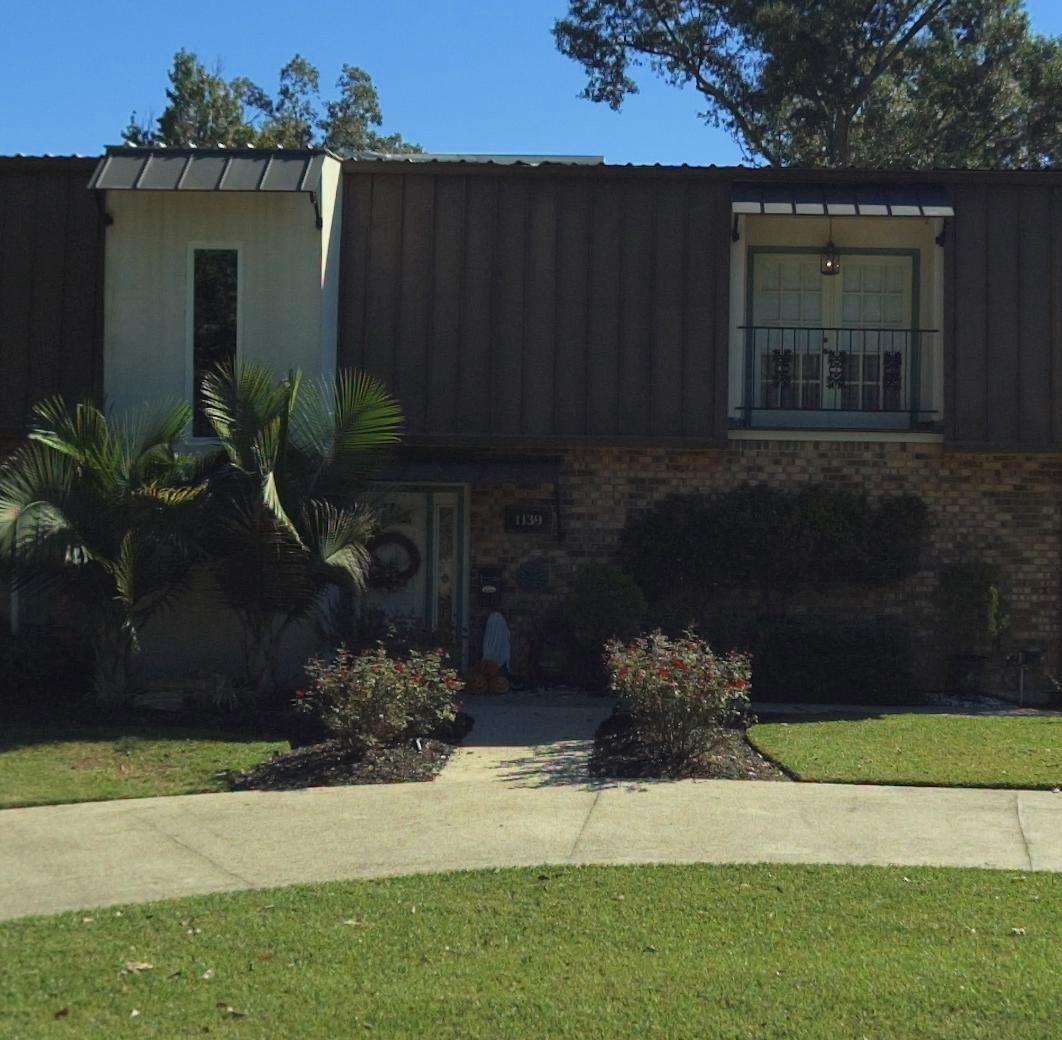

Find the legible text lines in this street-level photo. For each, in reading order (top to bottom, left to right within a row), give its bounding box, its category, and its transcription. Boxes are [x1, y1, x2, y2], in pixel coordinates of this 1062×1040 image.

[514, 511, 544, 528] StreetNumber: 1139